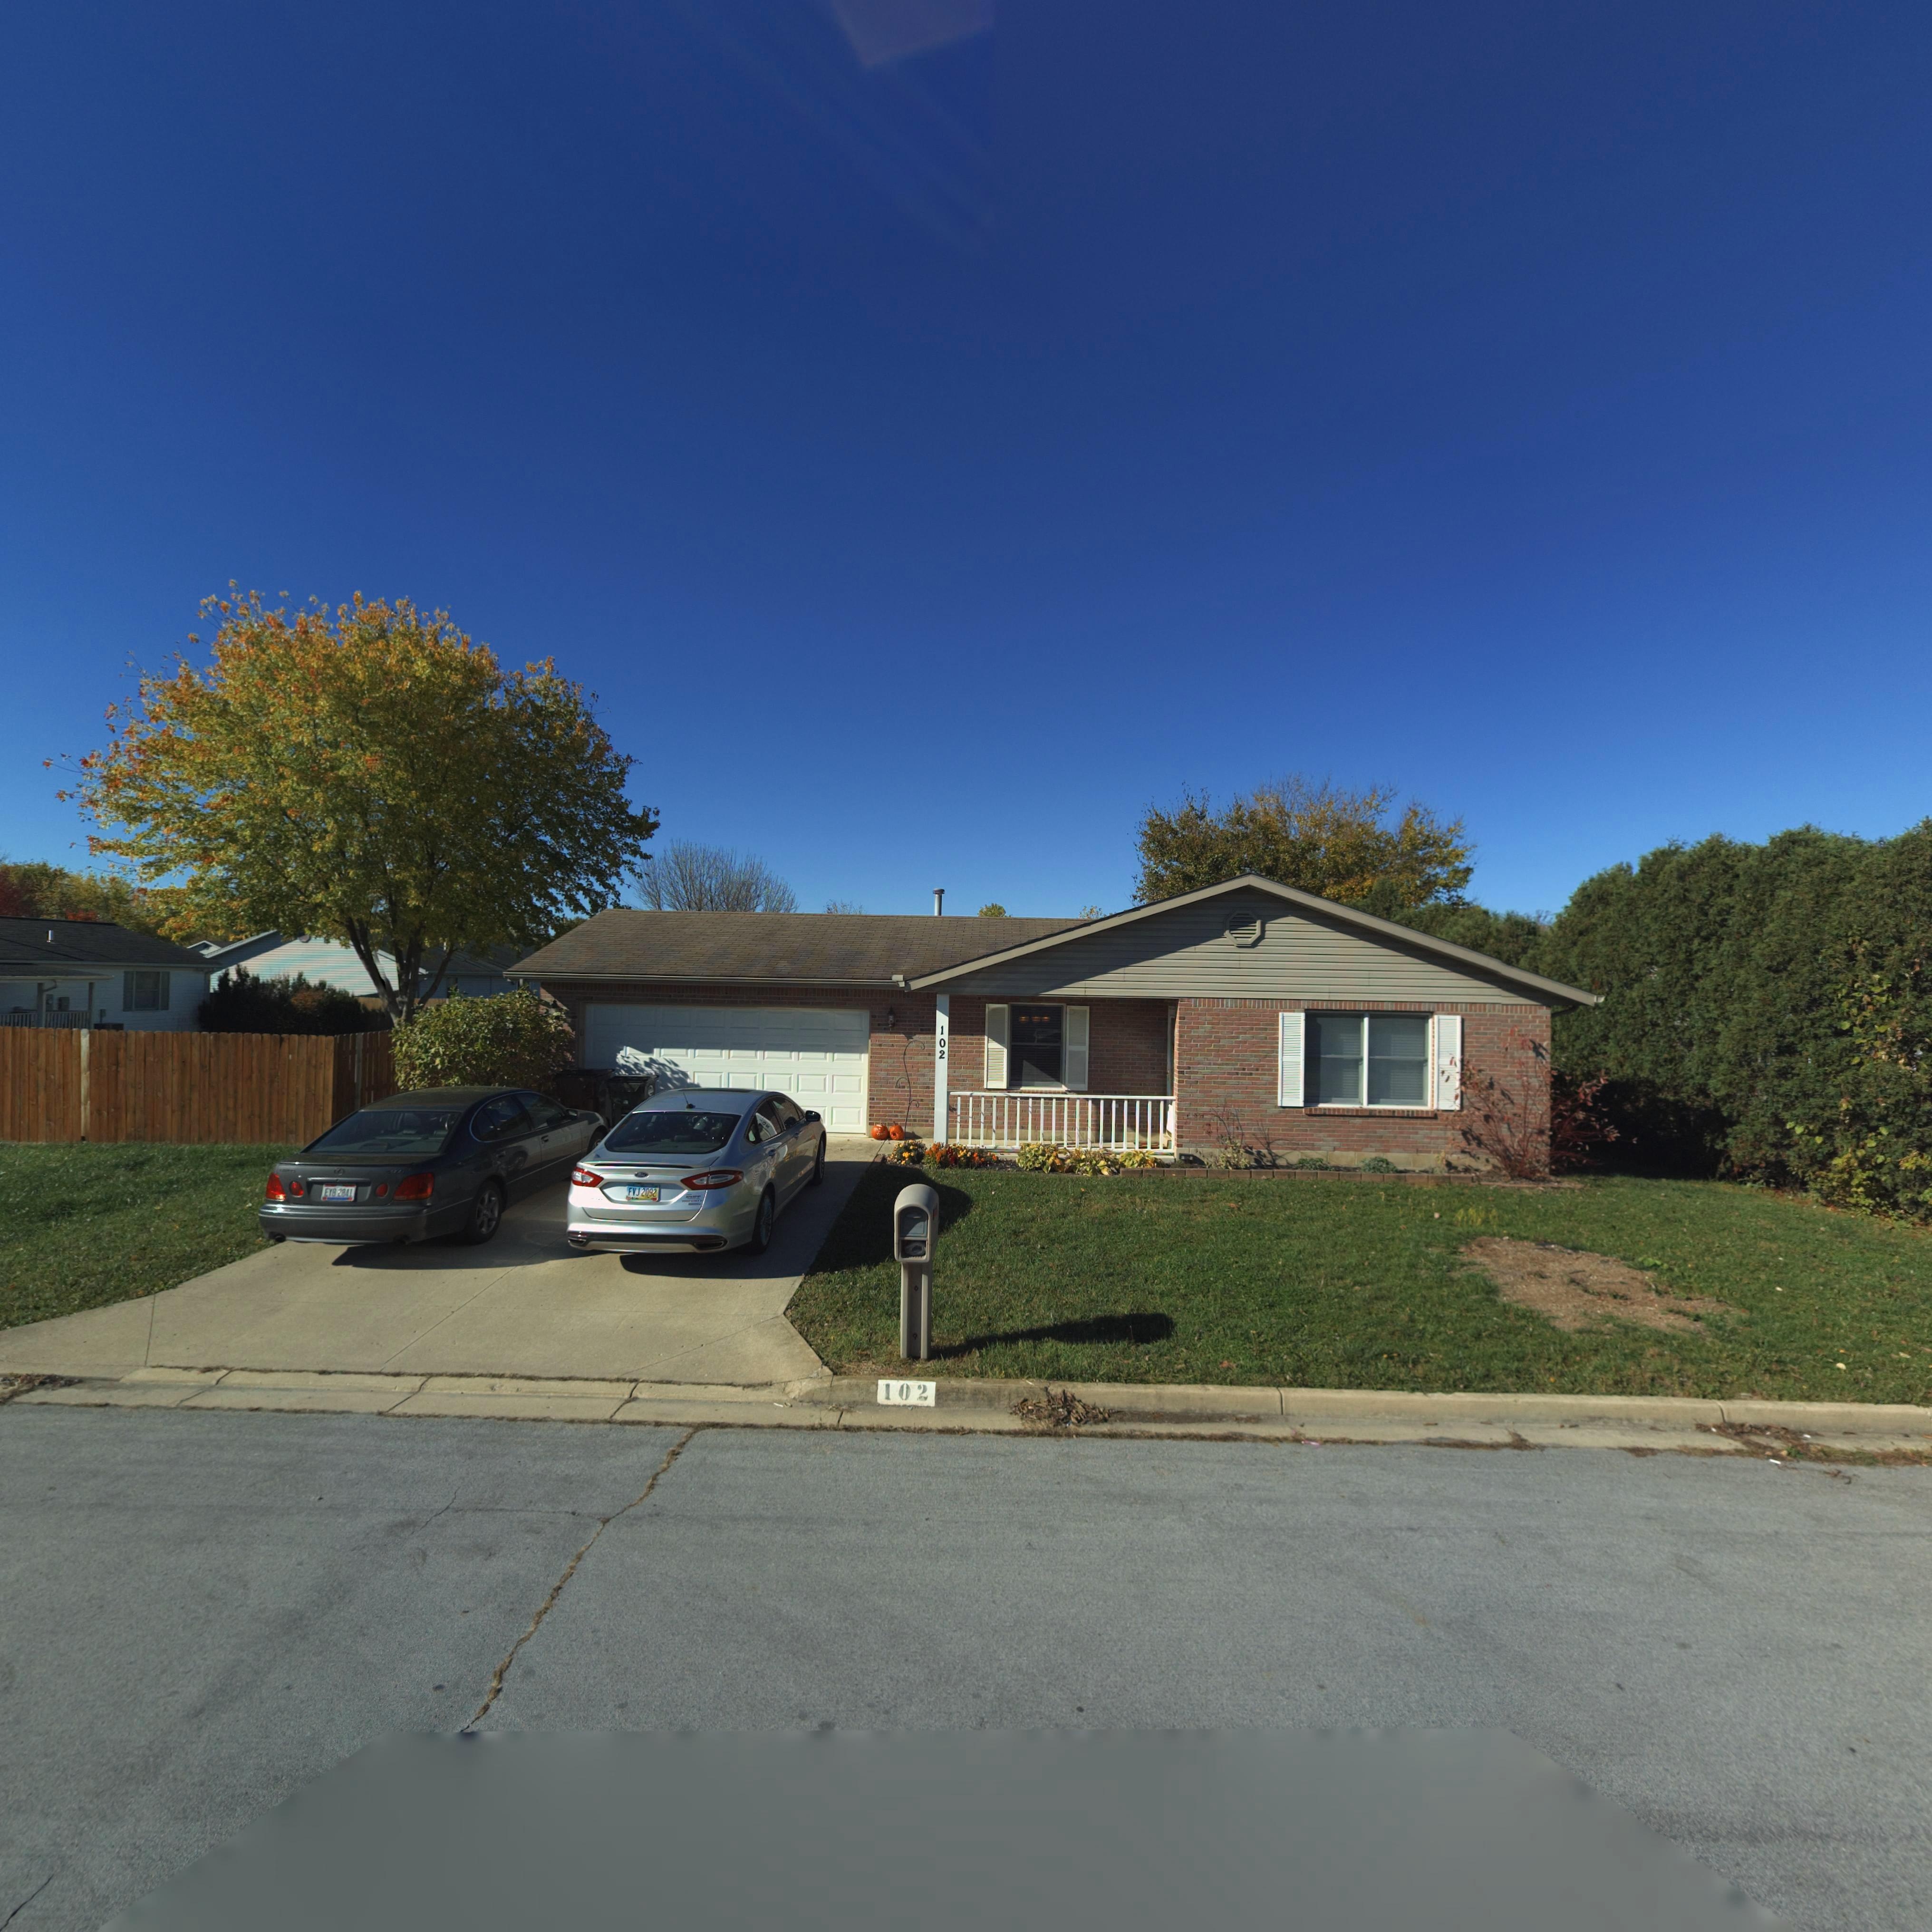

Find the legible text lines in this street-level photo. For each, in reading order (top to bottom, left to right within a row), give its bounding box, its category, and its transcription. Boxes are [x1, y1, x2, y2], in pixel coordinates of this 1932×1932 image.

[938, 1024, 946, 1060] StreetNumber: 102
[881, 1381, 929, 1402] StreetNumber: 102